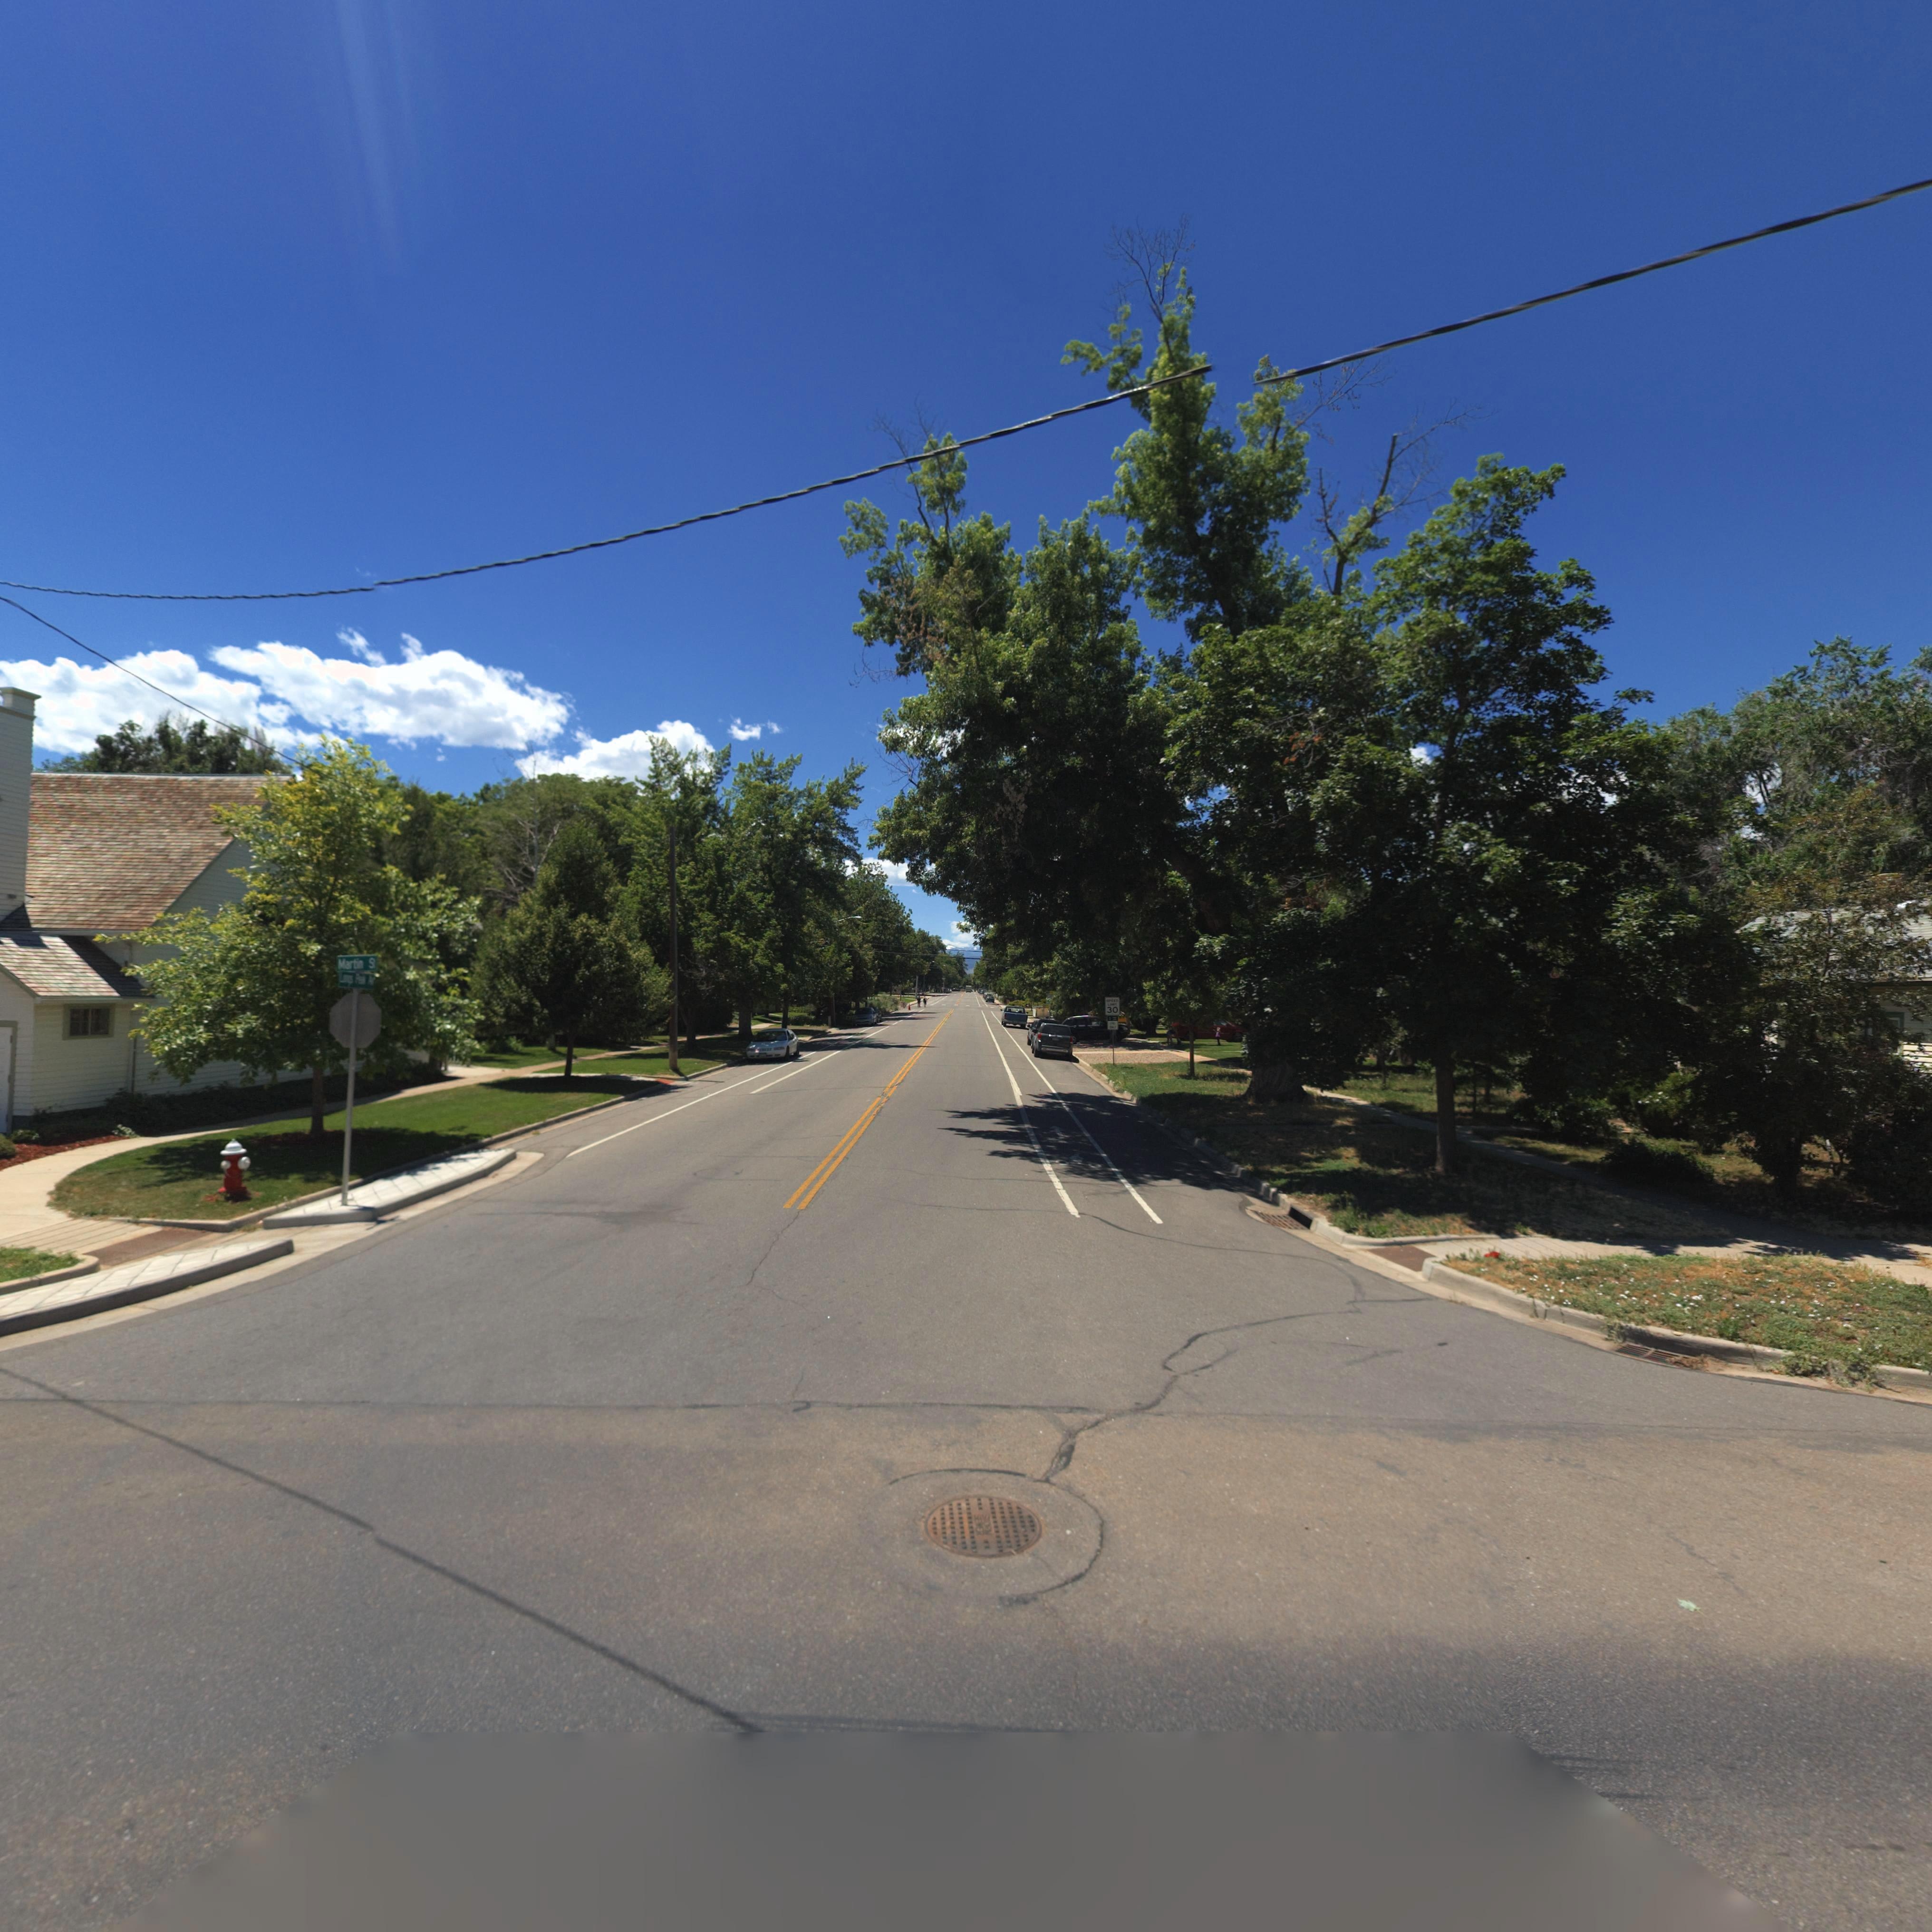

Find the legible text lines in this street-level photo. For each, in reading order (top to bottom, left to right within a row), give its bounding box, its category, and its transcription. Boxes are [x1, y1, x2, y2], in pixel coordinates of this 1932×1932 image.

[338, 957, 375, 970] StreetName: Martin S*
[339, 972, 374, 986] StreetName: Longs Peak Av